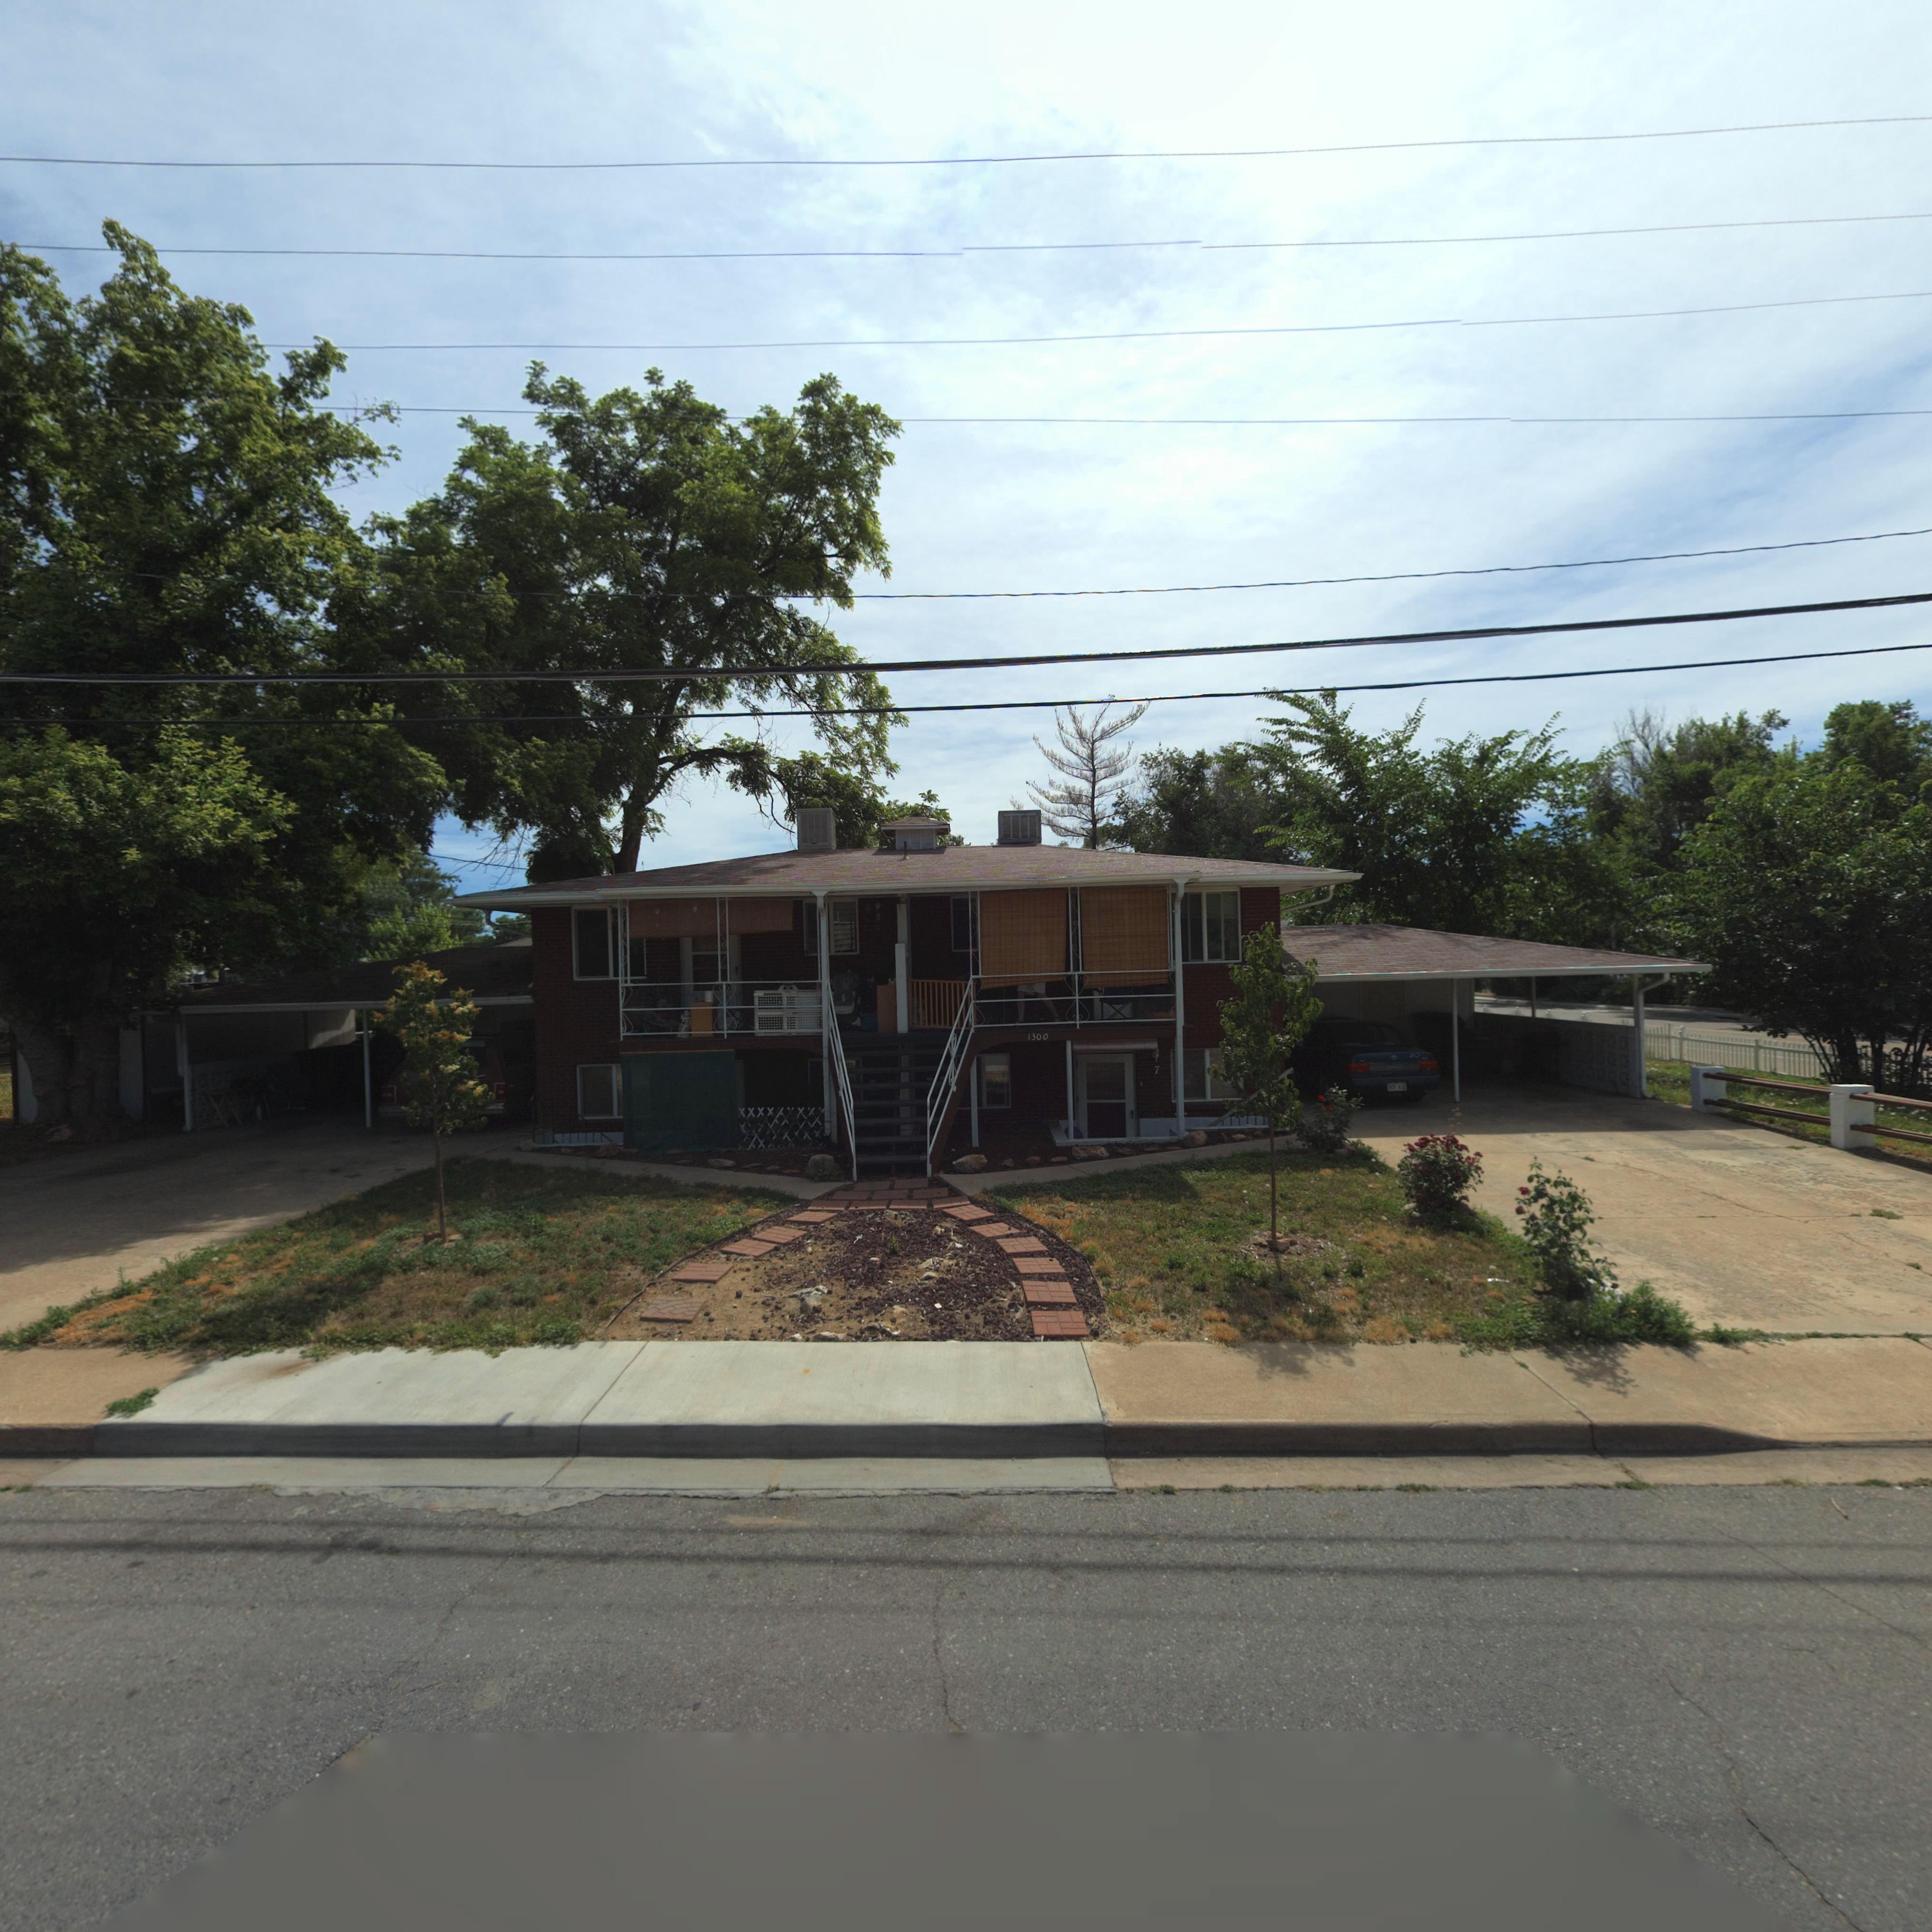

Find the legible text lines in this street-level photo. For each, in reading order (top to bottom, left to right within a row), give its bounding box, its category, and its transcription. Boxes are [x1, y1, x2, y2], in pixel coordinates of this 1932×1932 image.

[1027, 1032, 1049, 1041] StreetNumber: 1300
[1155, 1065, 1160, 1074] StreetNumber: 7